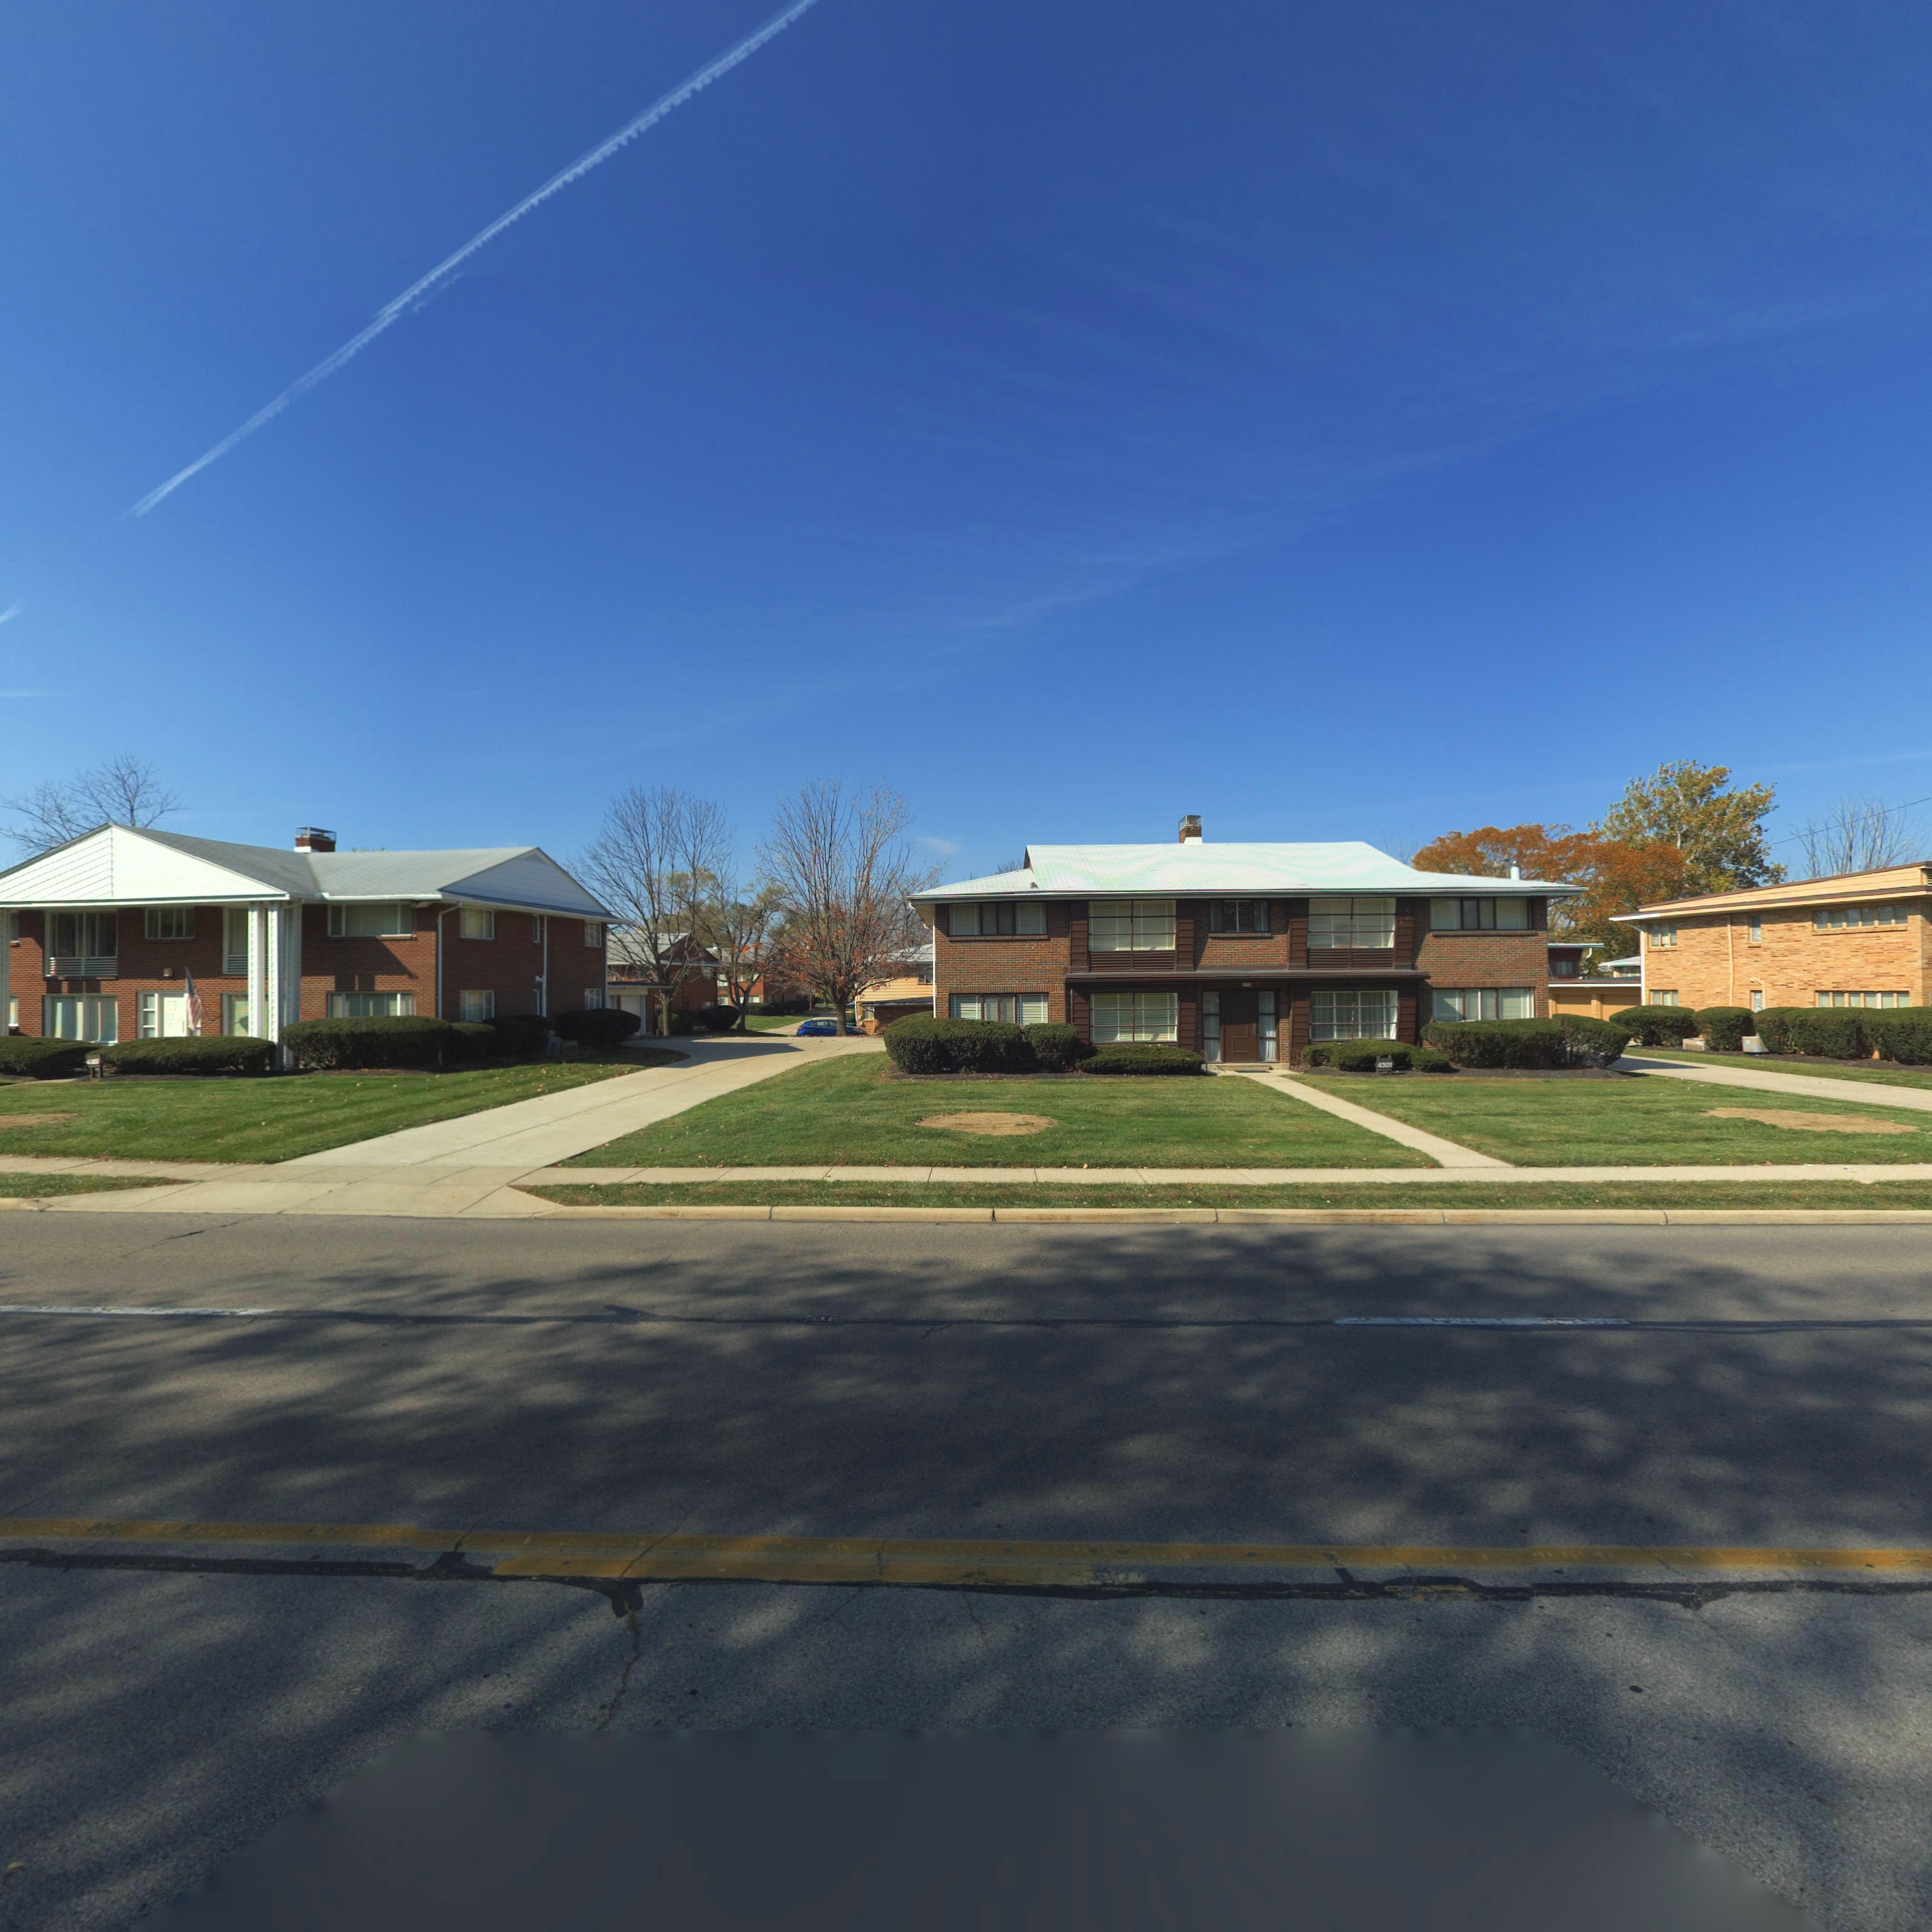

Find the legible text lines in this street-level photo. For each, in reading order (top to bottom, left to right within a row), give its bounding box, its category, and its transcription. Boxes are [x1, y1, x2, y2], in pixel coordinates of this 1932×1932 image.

[1376, 1061, 1393, 1069] StreetNumber: 4301